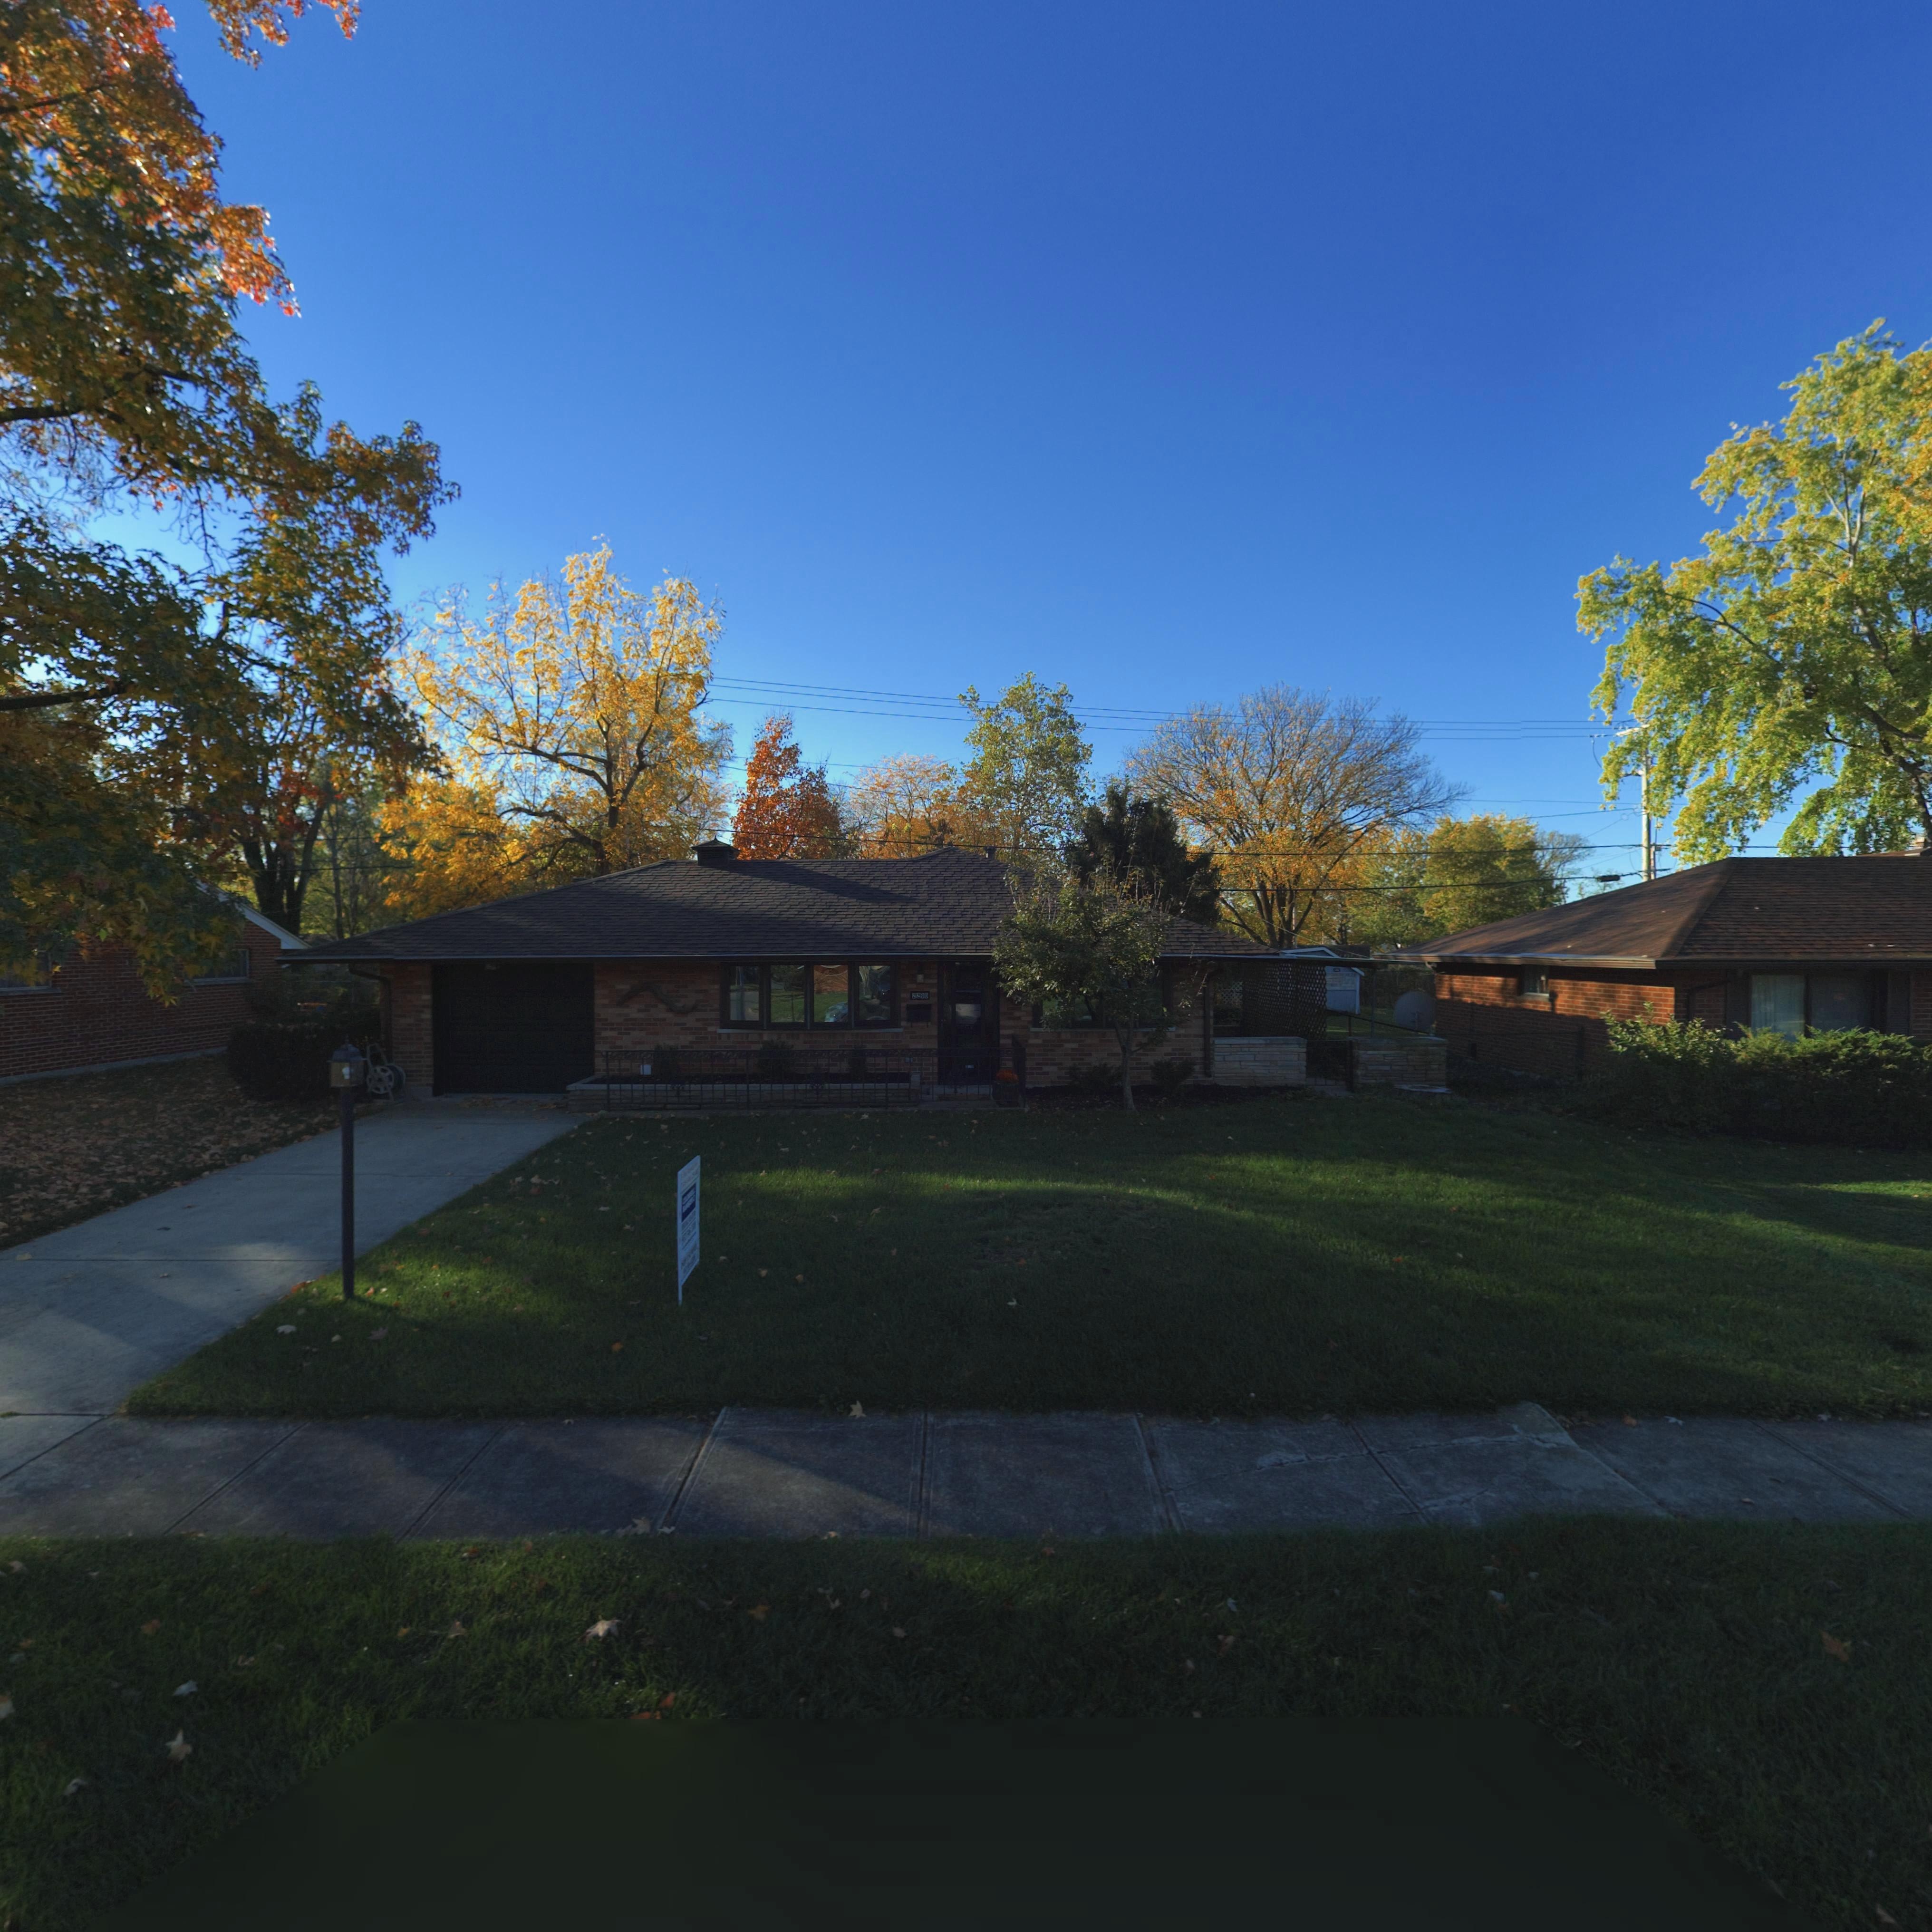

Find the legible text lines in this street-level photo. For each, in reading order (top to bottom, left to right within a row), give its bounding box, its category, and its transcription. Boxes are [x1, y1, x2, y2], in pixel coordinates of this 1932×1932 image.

[912, 993, 928, 999] StreetNumber: 2290